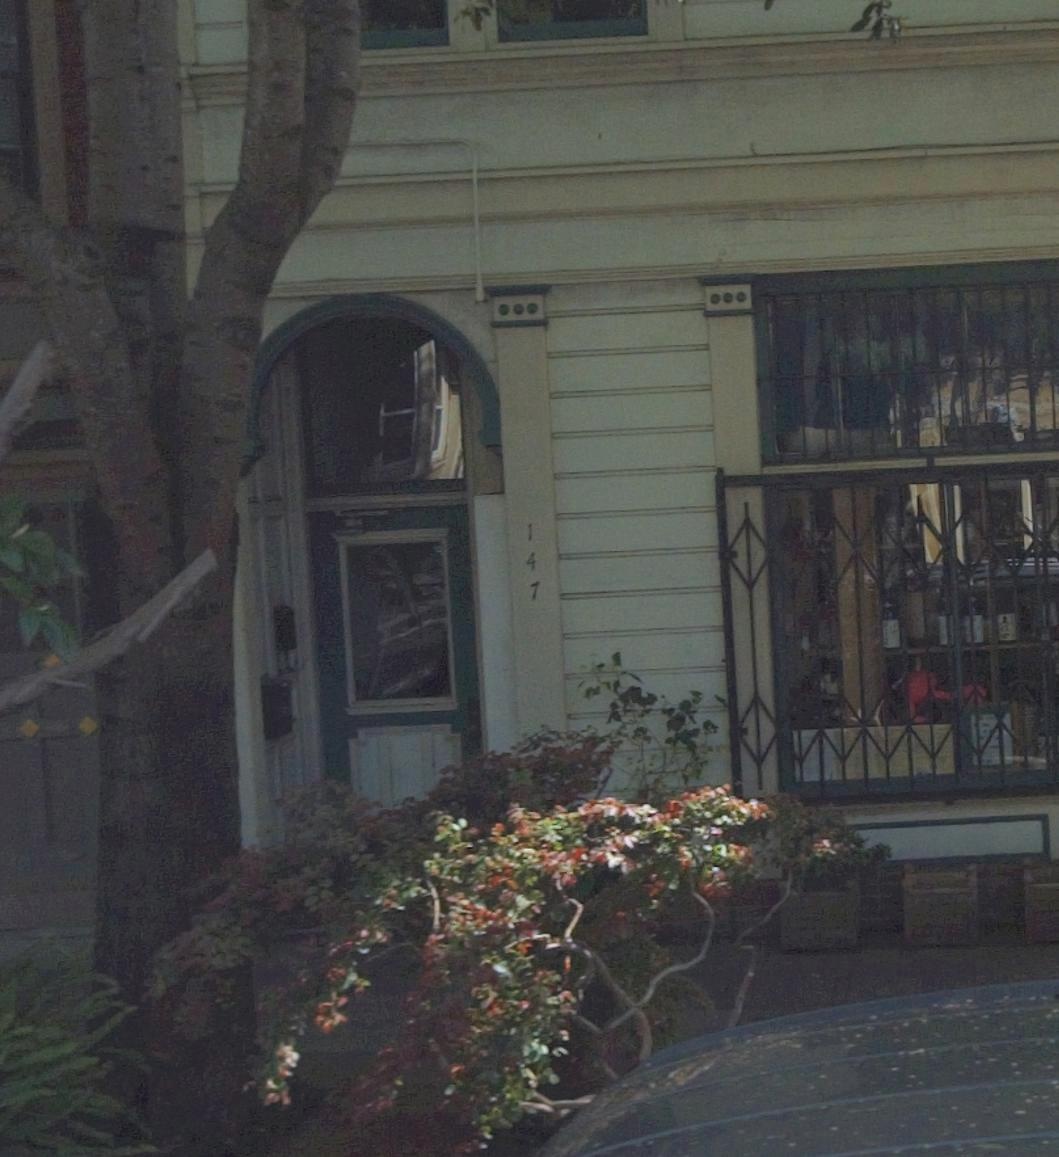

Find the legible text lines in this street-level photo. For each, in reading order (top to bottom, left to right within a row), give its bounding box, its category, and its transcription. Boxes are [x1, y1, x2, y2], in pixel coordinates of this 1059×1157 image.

[525, 522, 543, 603] StreetNumber: 147